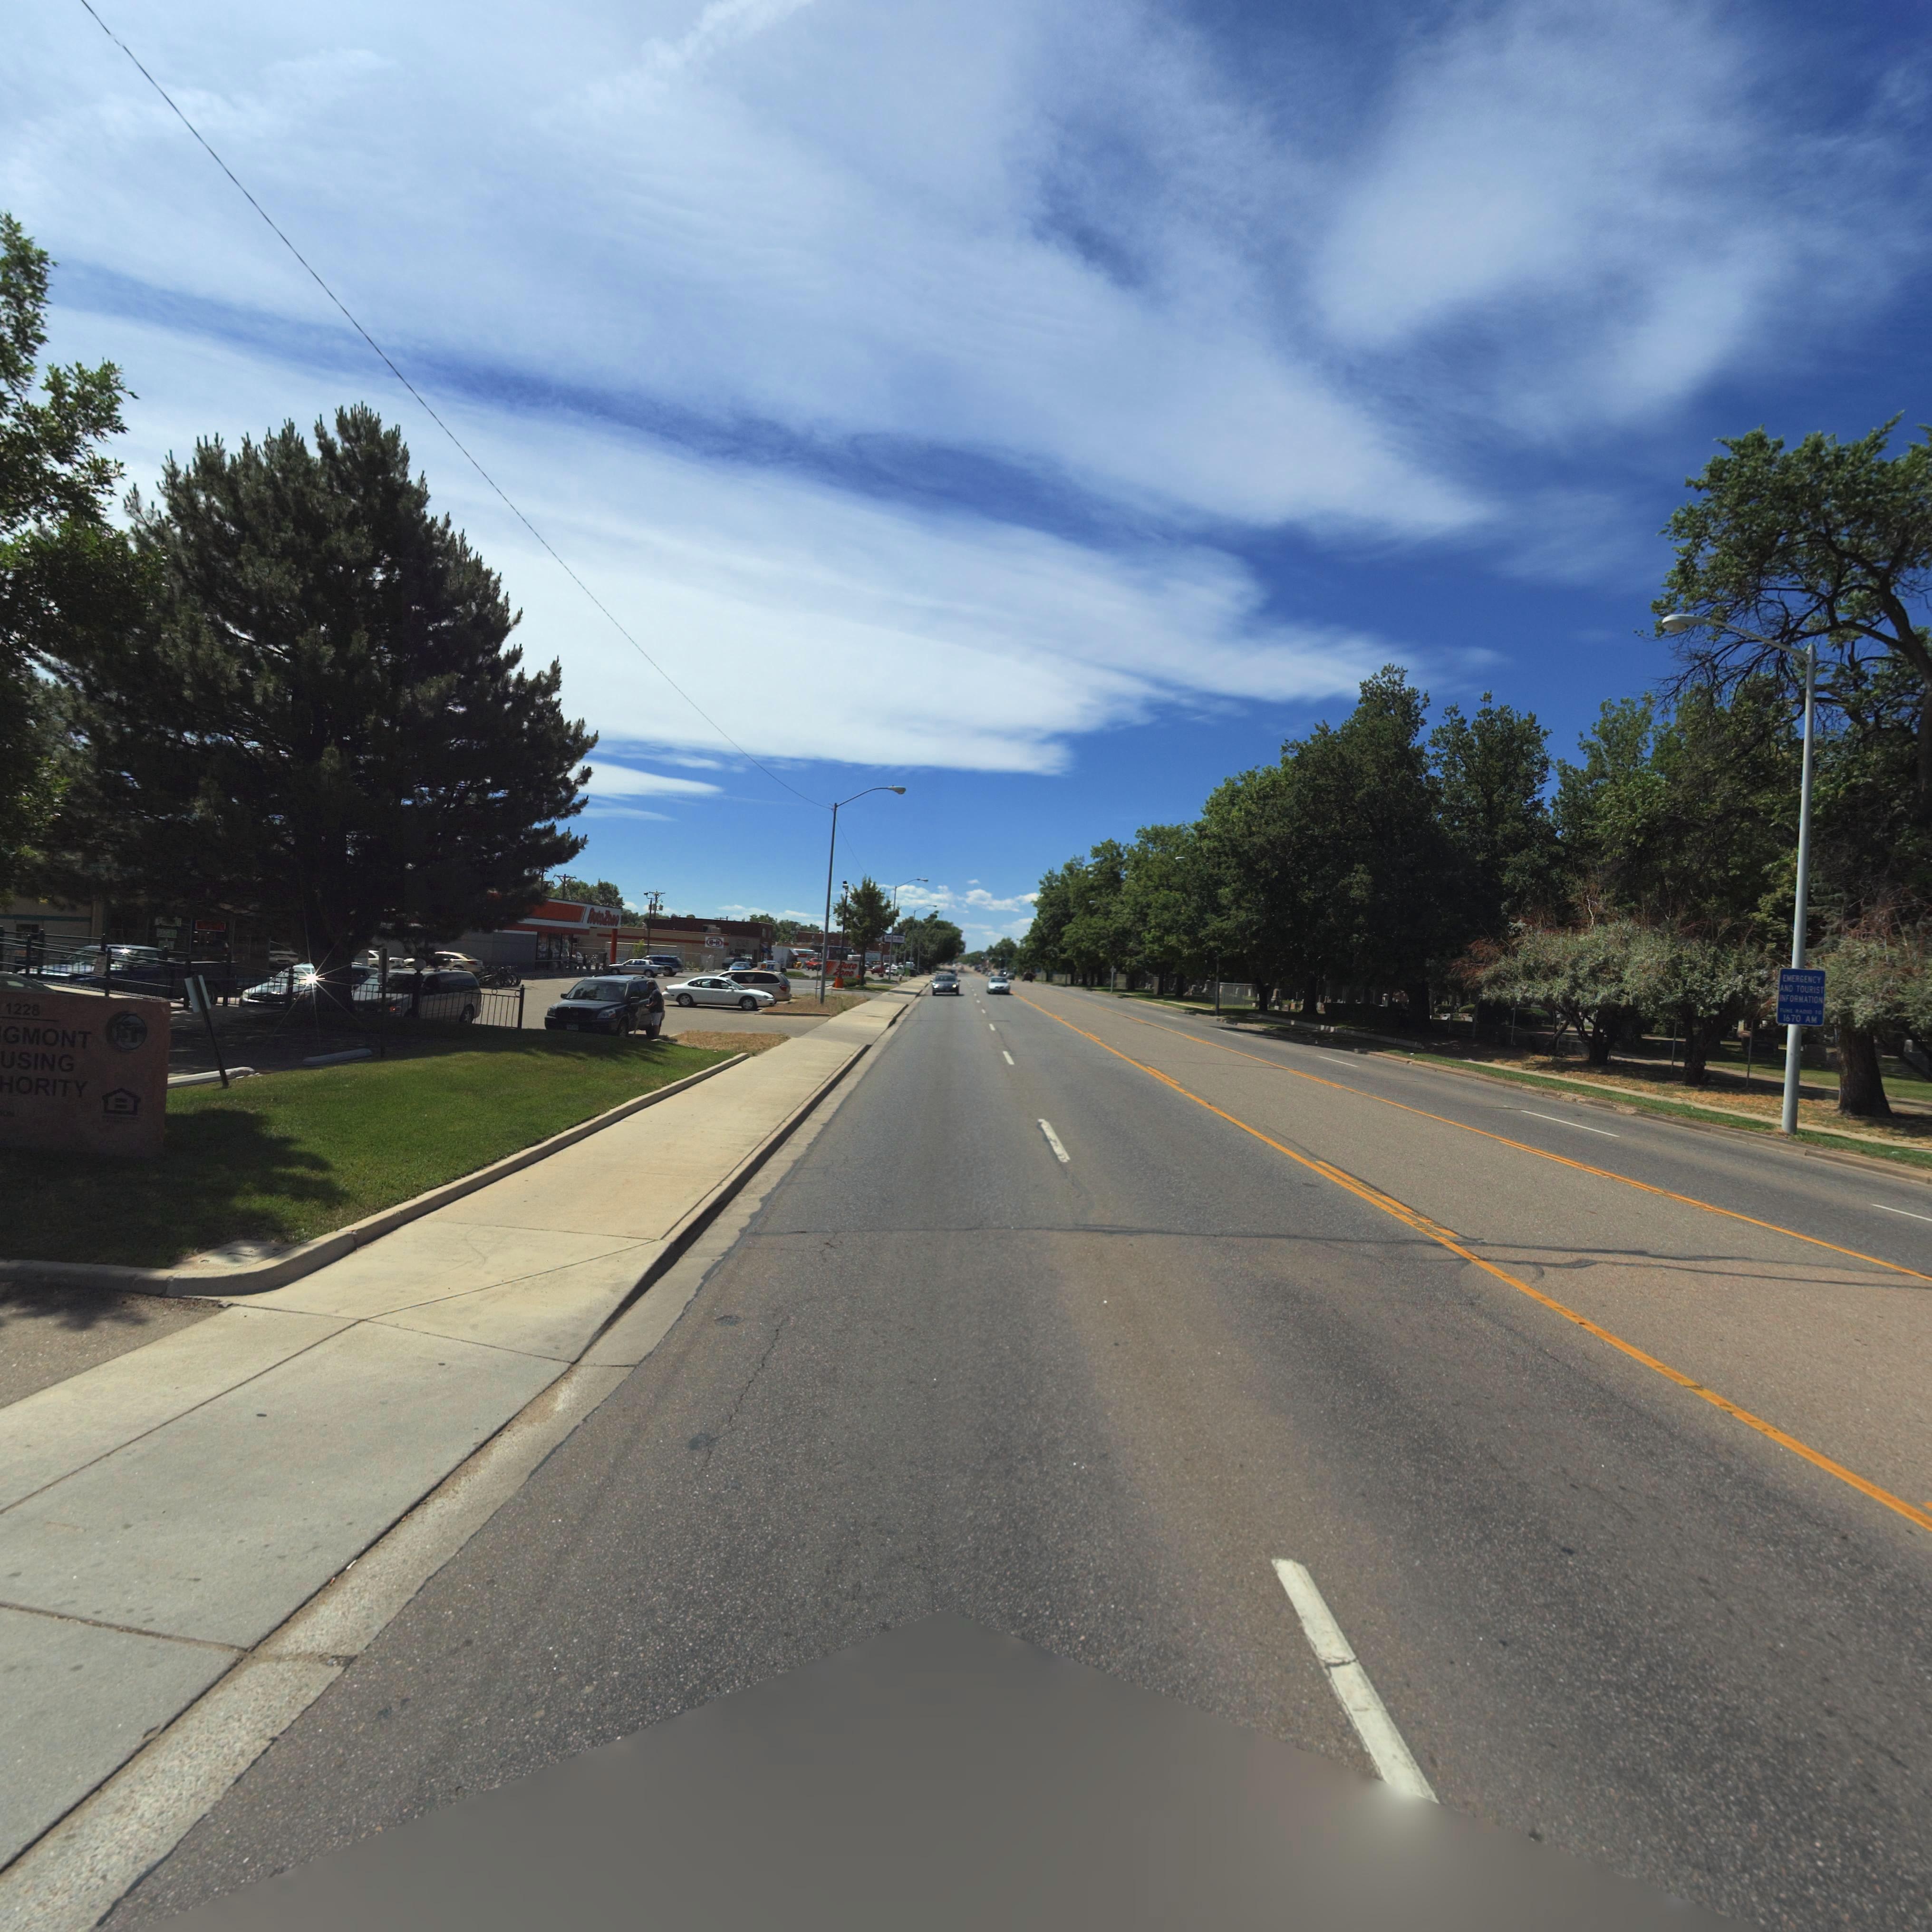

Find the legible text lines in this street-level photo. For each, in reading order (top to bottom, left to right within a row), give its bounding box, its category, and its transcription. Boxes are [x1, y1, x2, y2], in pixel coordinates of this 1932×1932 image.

[586, 907, 620, 926] BusinessName: AutoZo**
[709, 939, 719, 946] BusinessName: B*H
[832, 968, 854, 976] BusinessName: Z*ne
[837, 961, 857, 969] BusinessName: *uto
[5, 1002, 40, 1016] StreetNumber: 1228
[2, 1025, 93, 1049] BusinessName: GMONT
[17, 1052, 75, 1073] BusinessName: SING
[15, 1076, 88, 1098] BusinessName: ORITY